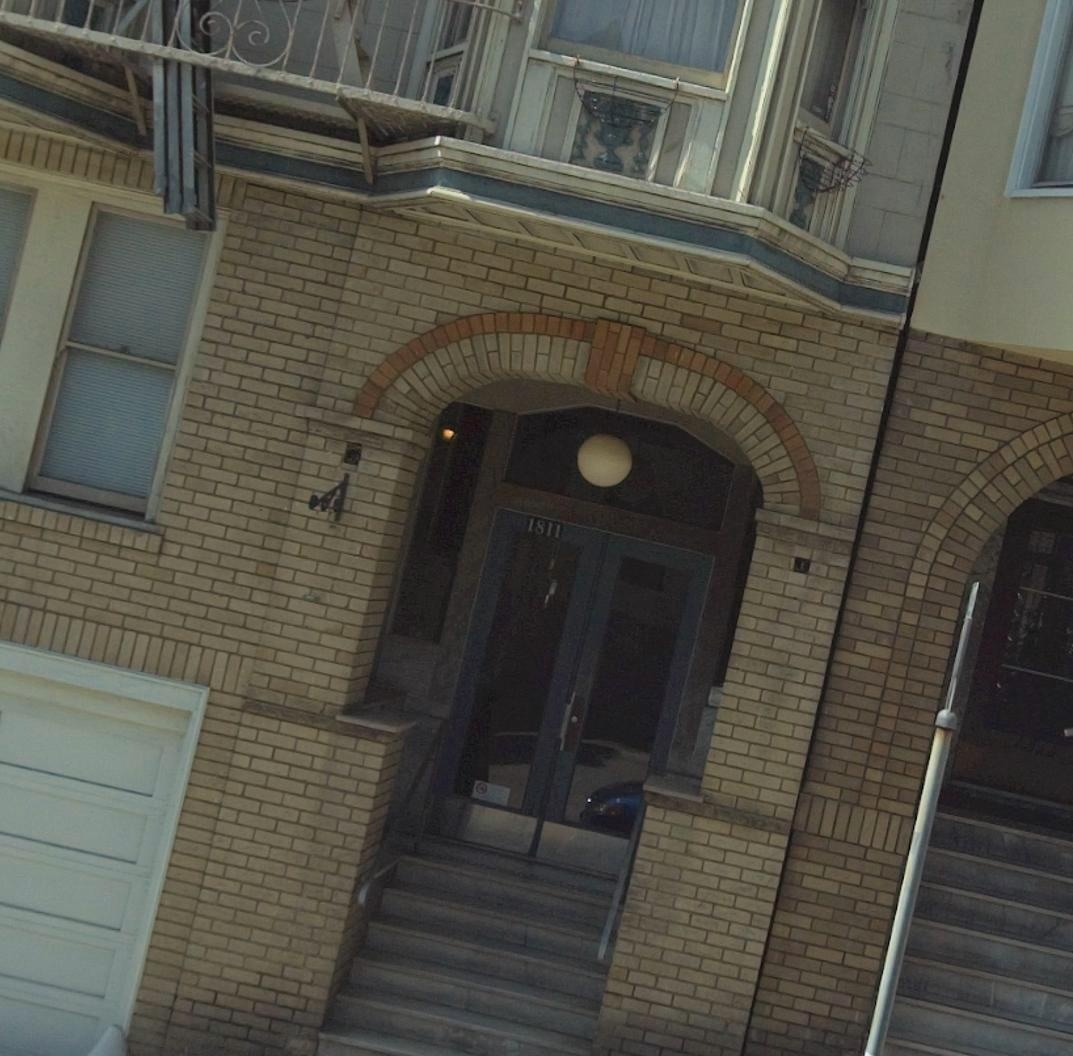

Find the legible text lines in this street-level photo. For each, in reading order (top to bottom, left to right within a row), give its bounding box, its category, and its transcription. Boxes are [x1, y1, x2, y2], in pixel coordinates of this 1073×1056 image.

[525, 516, 563, 541] StreetNumber: 1811